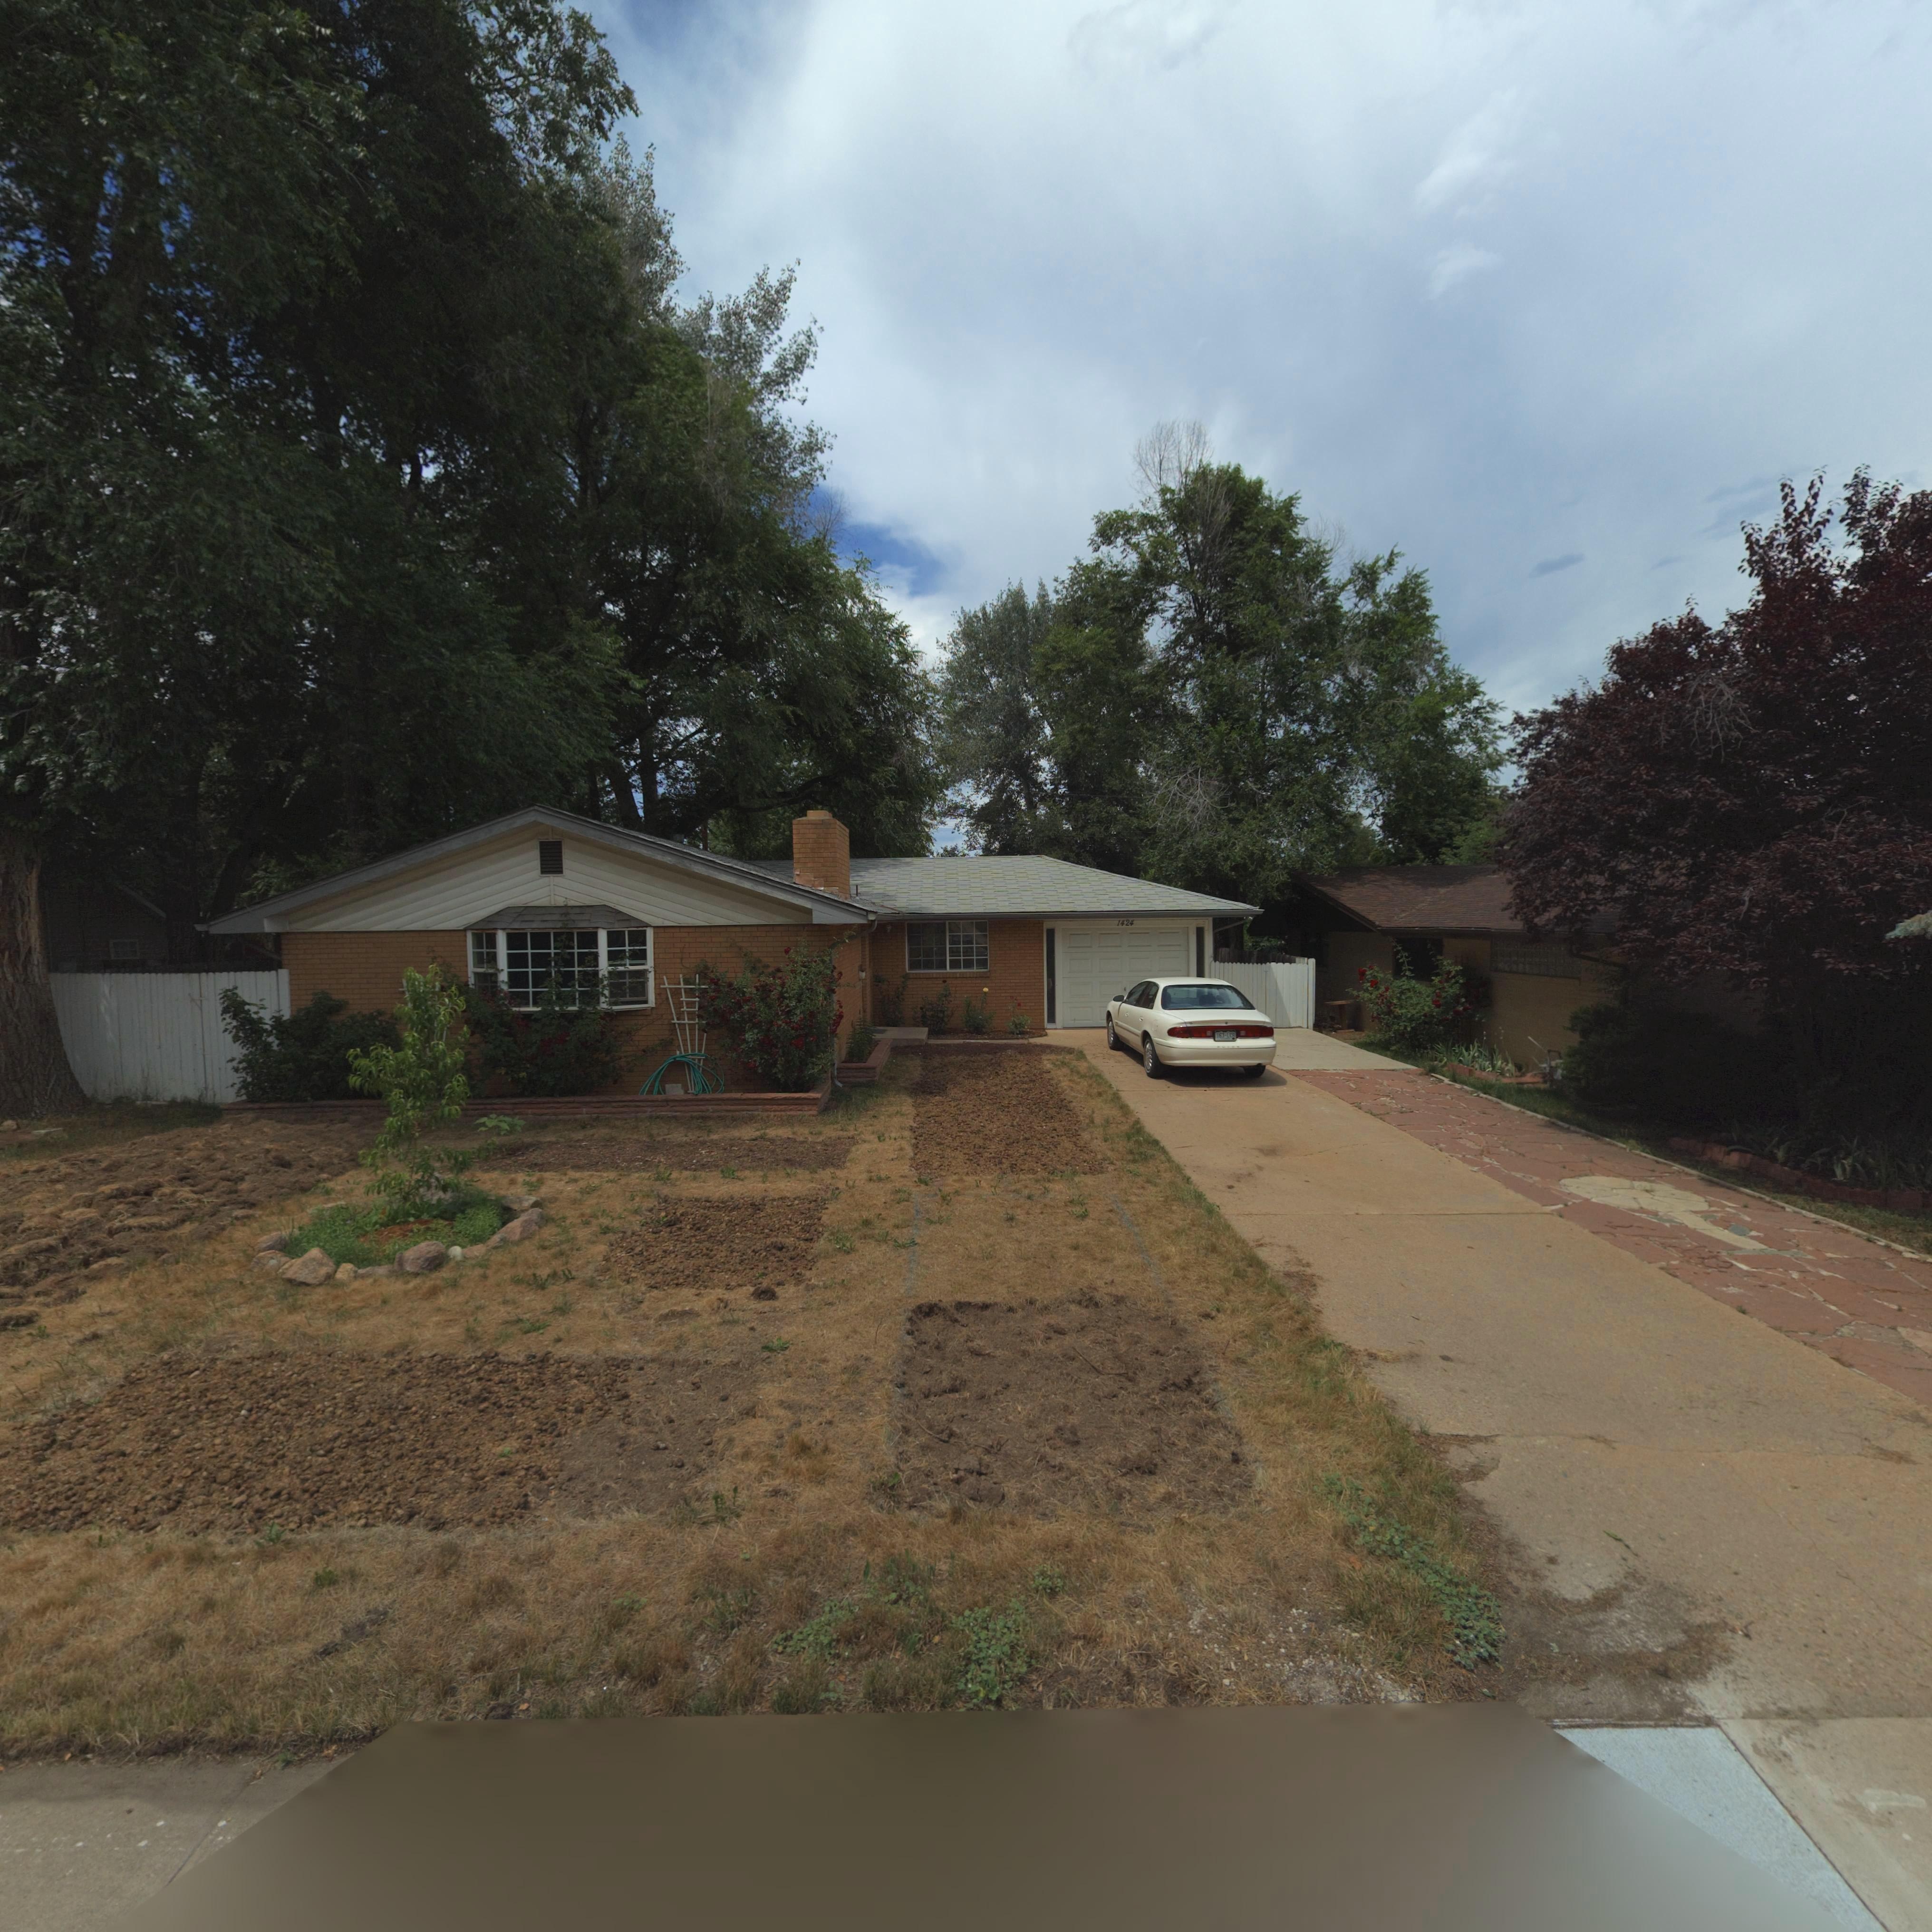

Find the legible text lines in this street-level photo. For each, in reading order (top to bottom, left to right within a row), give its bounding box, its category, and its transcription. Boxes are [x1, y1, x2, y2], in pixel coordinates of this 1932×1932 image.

[1116, 918, 1135, 927] StreetNumber: 1424